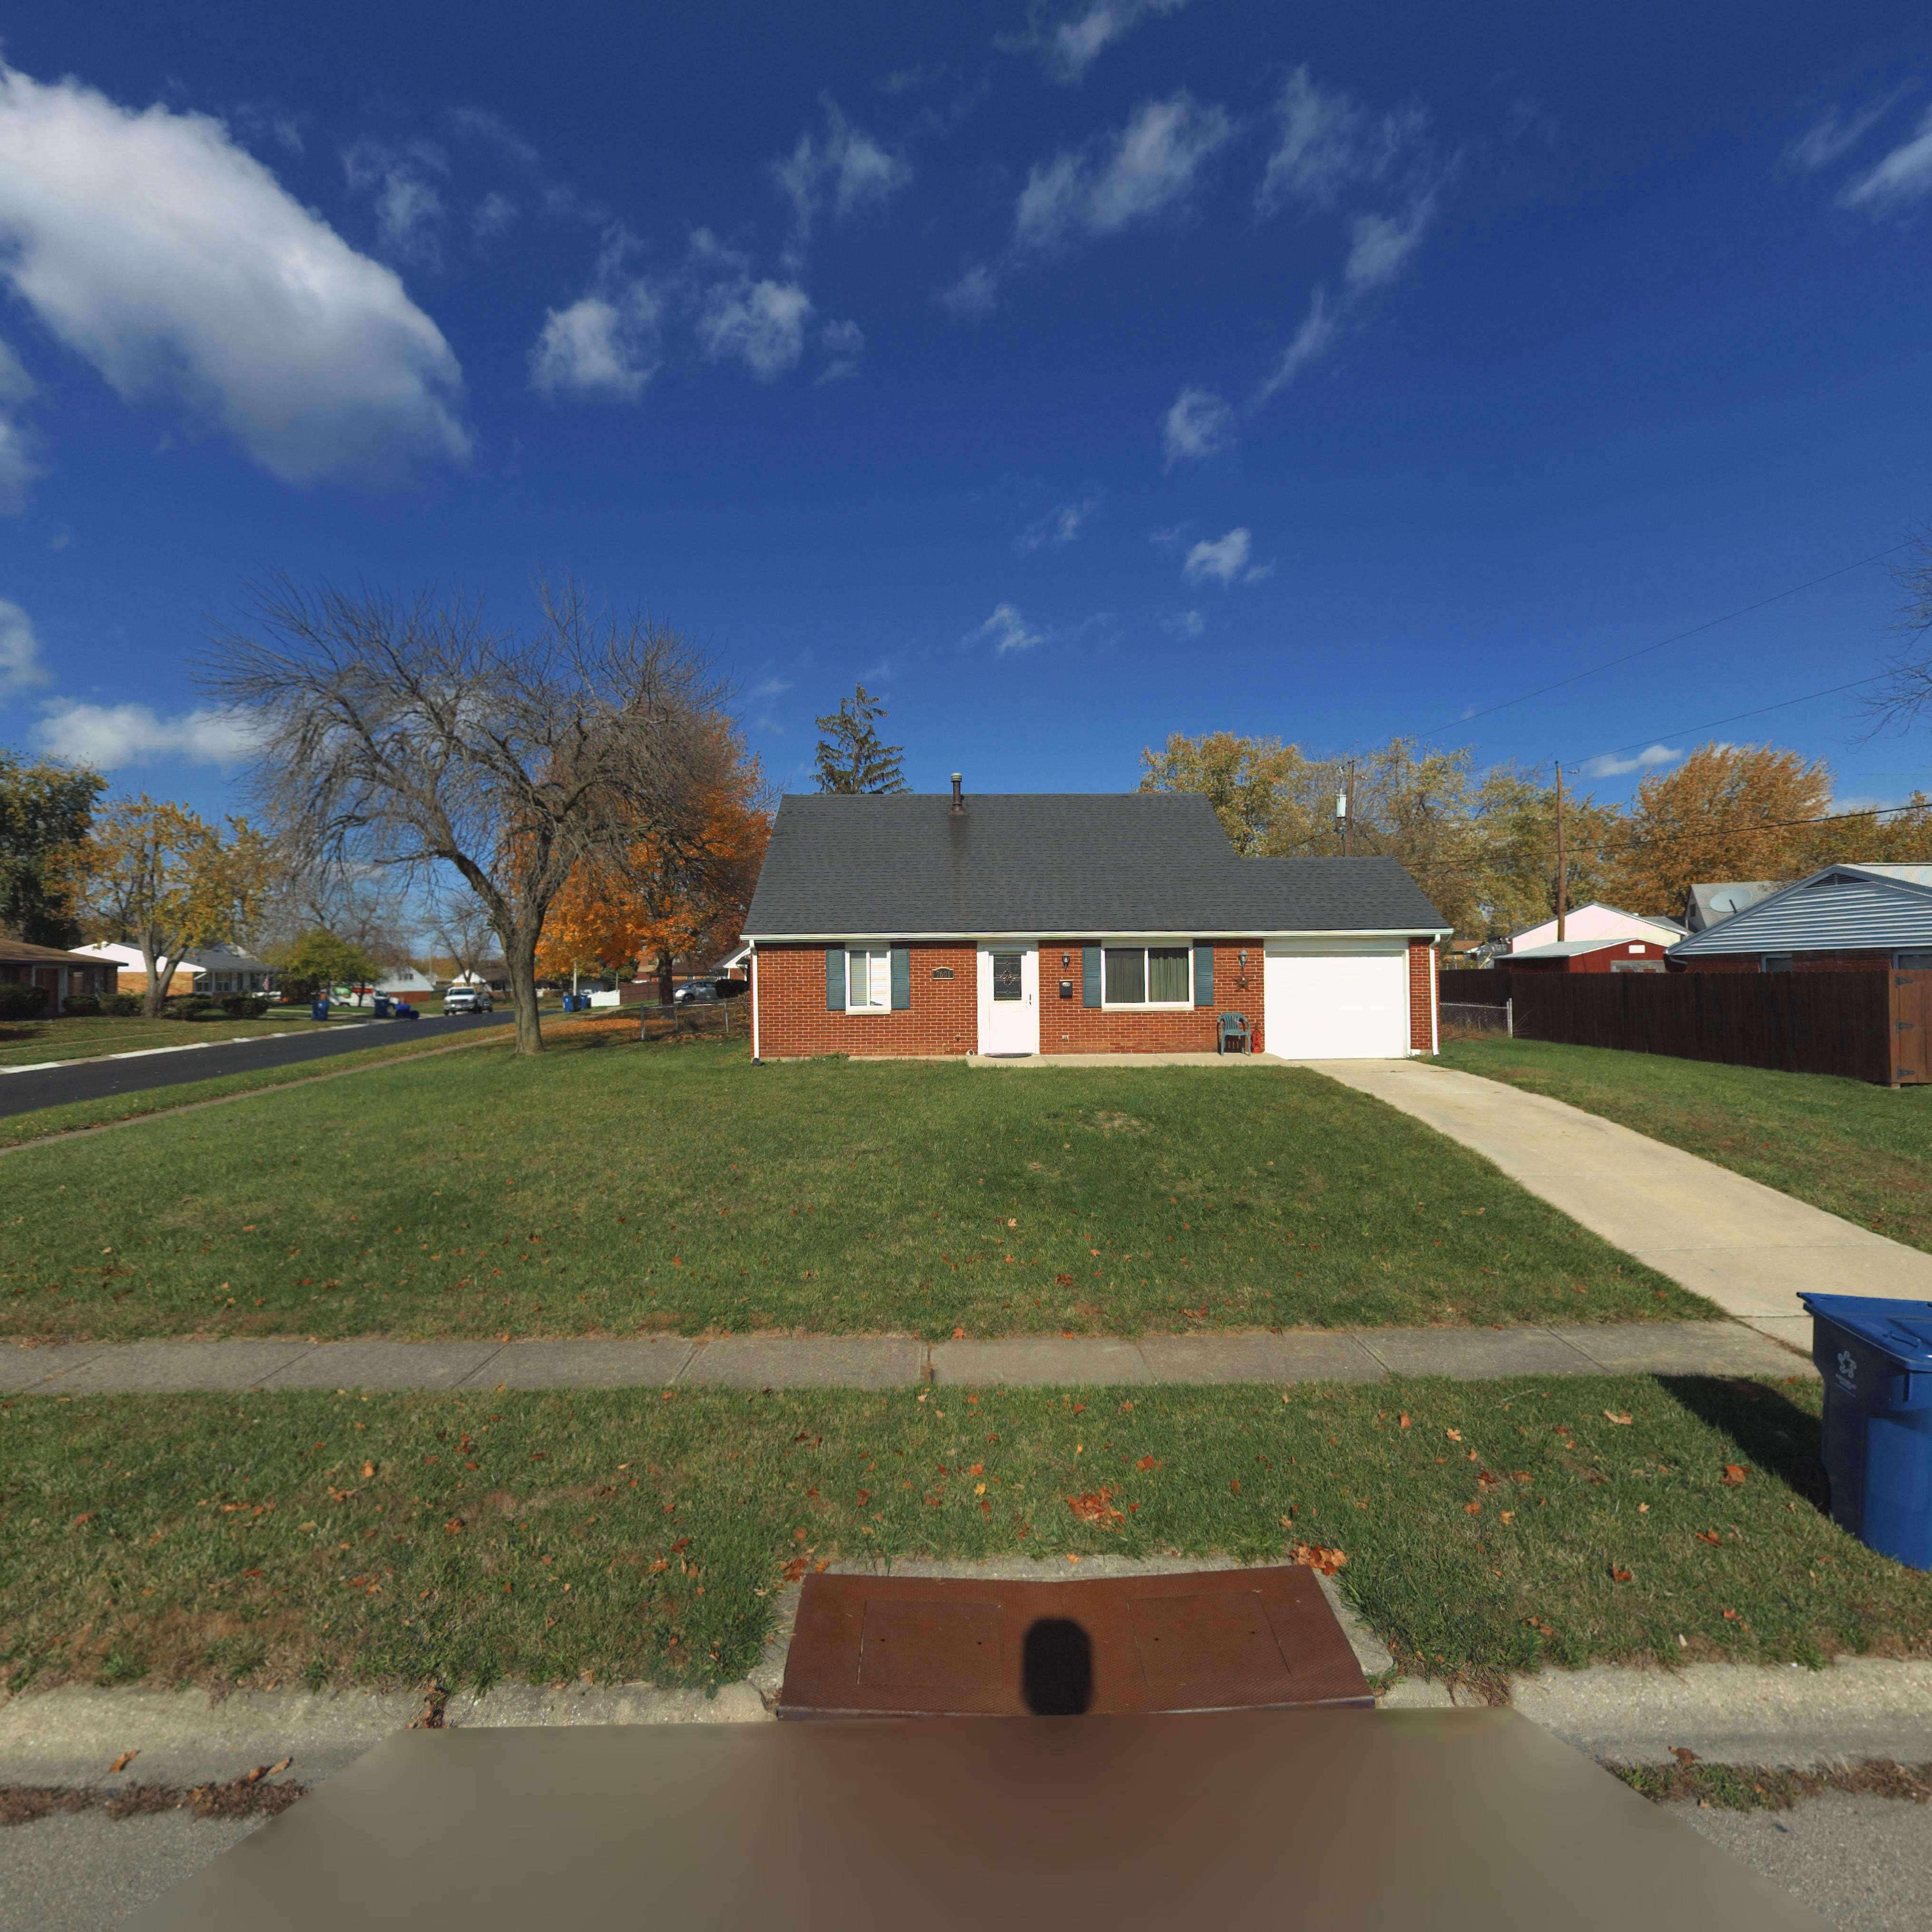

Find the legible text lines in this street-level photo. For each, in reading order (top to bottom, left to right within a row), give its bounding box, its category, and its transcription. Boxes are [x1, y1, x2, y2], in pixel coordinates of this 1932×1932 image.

[936, 971, 951, 978] StreetNumber: 7601